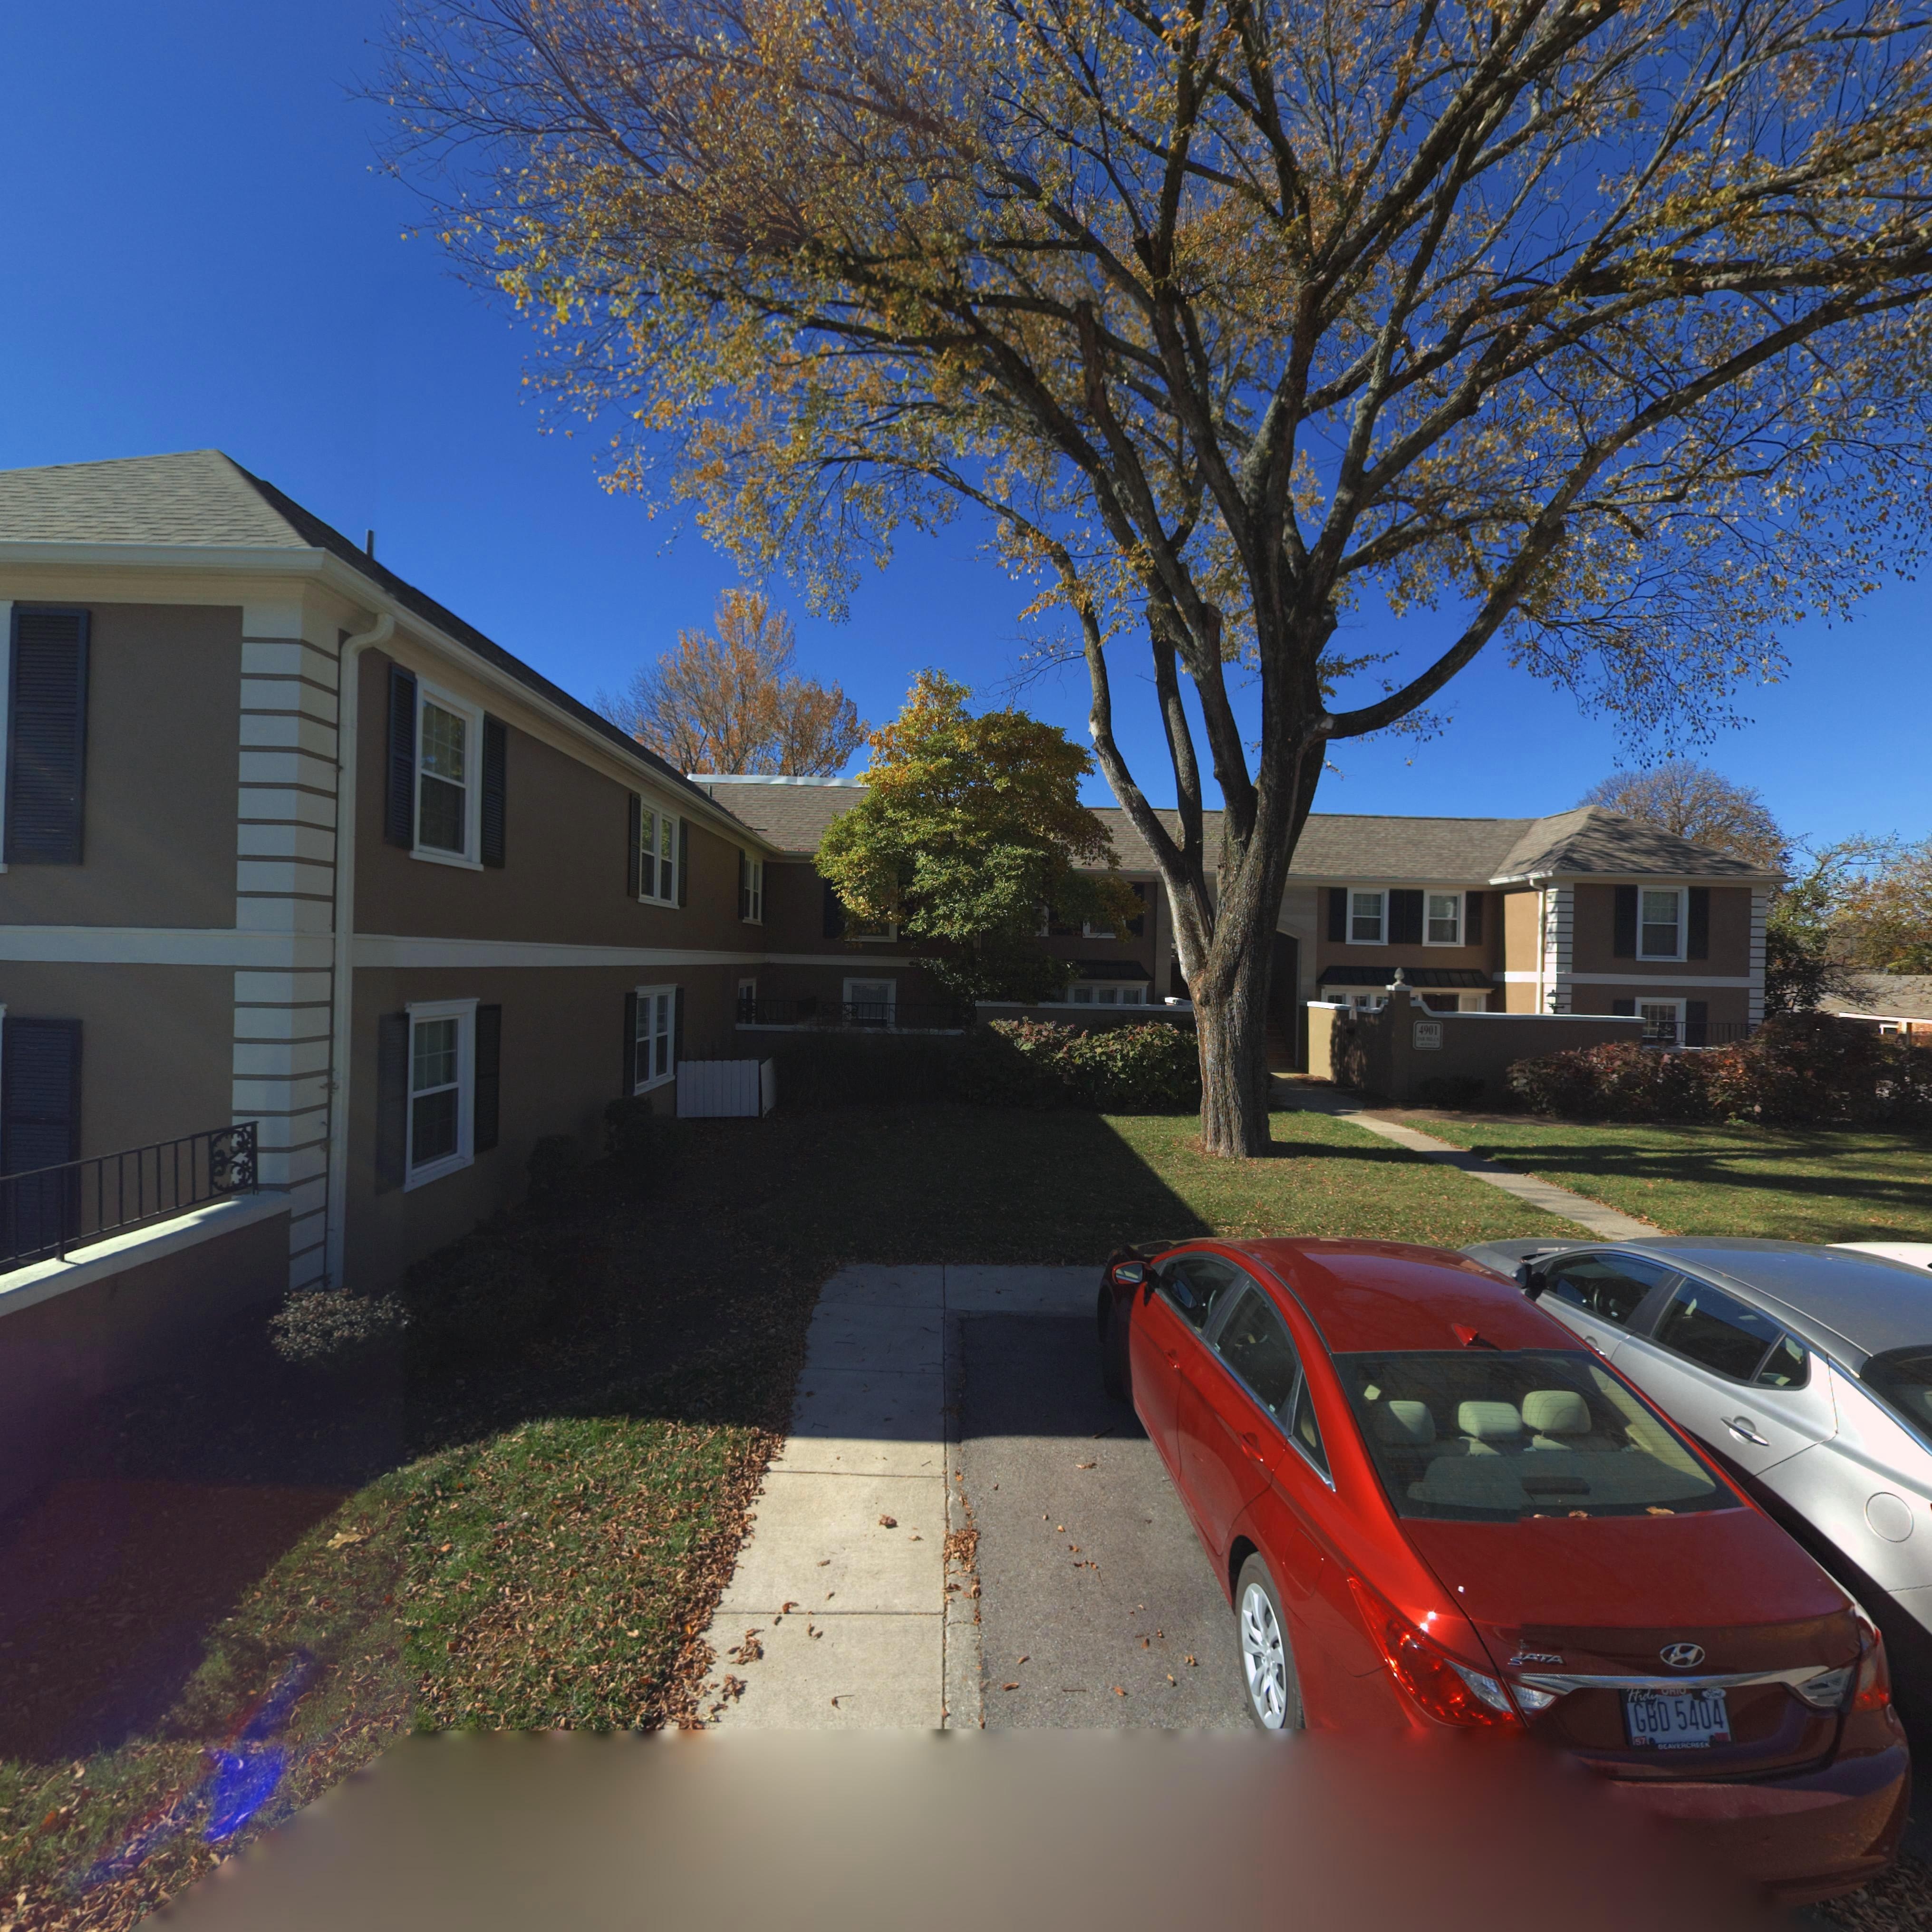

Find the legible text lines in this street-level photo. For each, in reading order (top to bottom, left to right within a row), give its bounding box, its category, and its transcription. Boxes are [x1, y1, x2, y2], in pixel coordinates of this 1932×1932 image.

[1418, 1024, 1438, 1035] StreetNumber: 4901